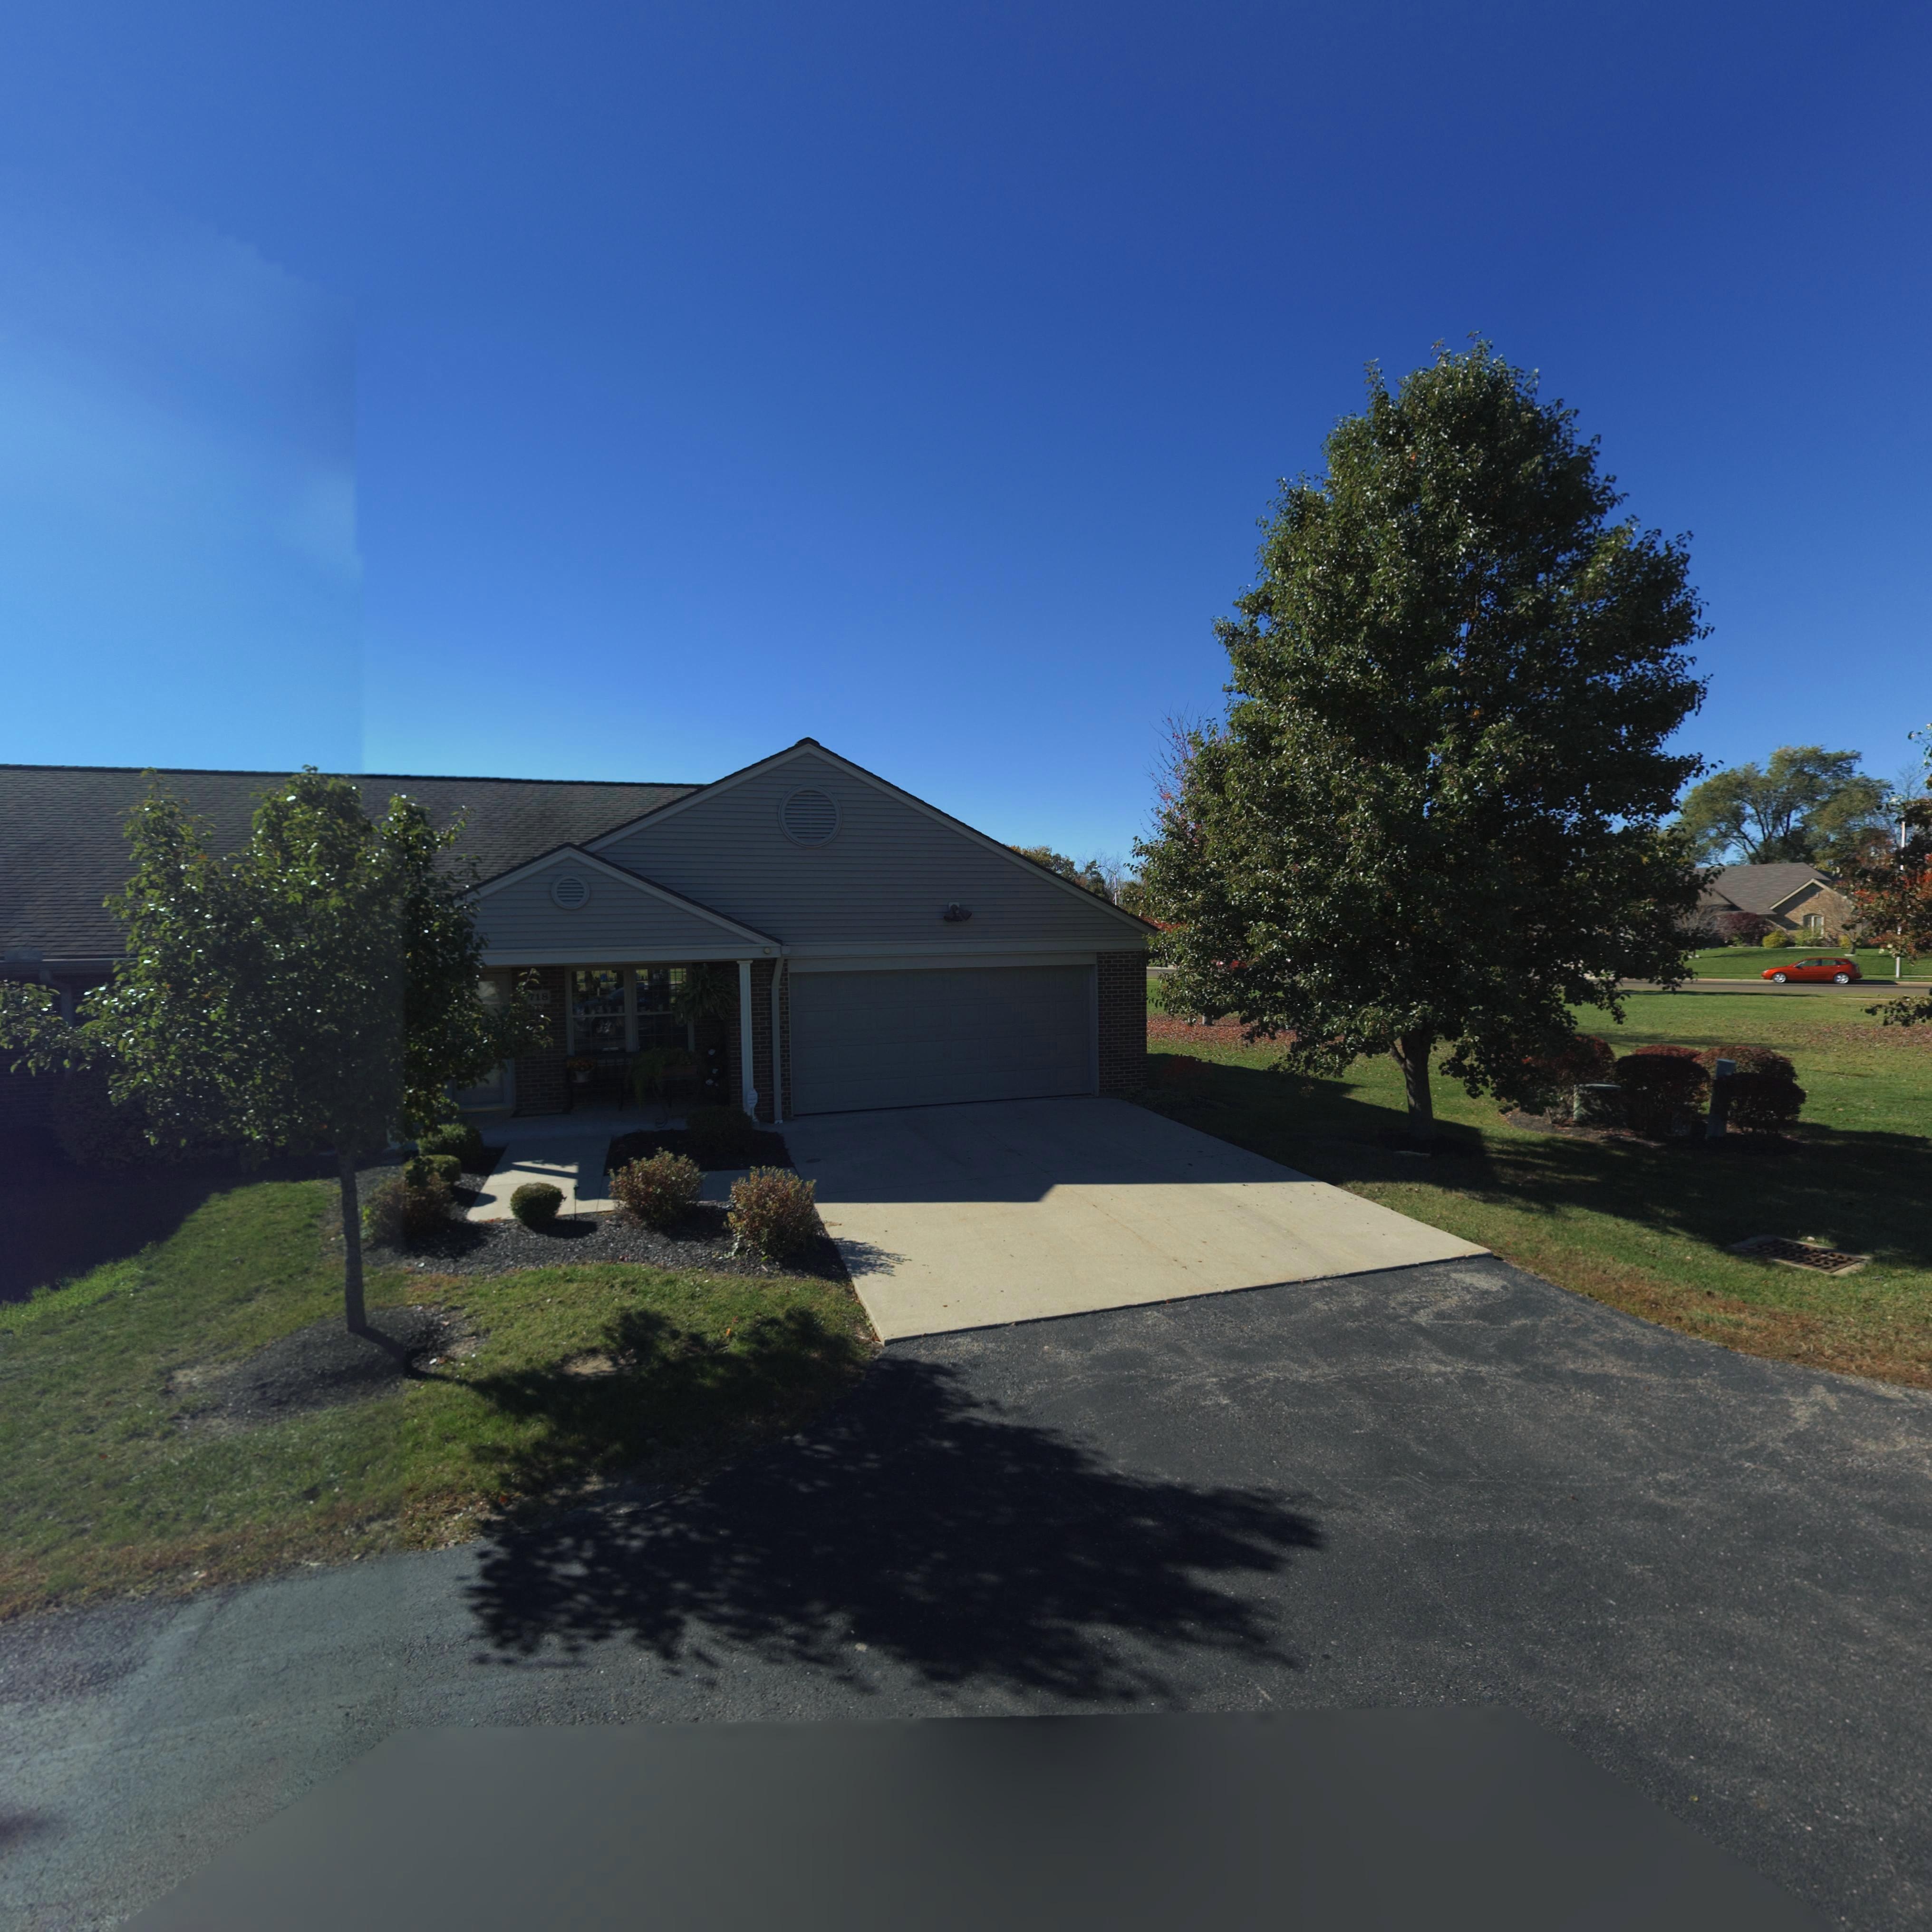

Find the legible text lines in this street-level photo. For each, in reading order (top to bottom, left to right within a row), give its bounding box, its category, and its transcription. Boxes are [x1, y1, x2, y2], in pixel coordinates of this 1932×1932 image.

[528, 993, 548, 1001] StreetNumber: 718